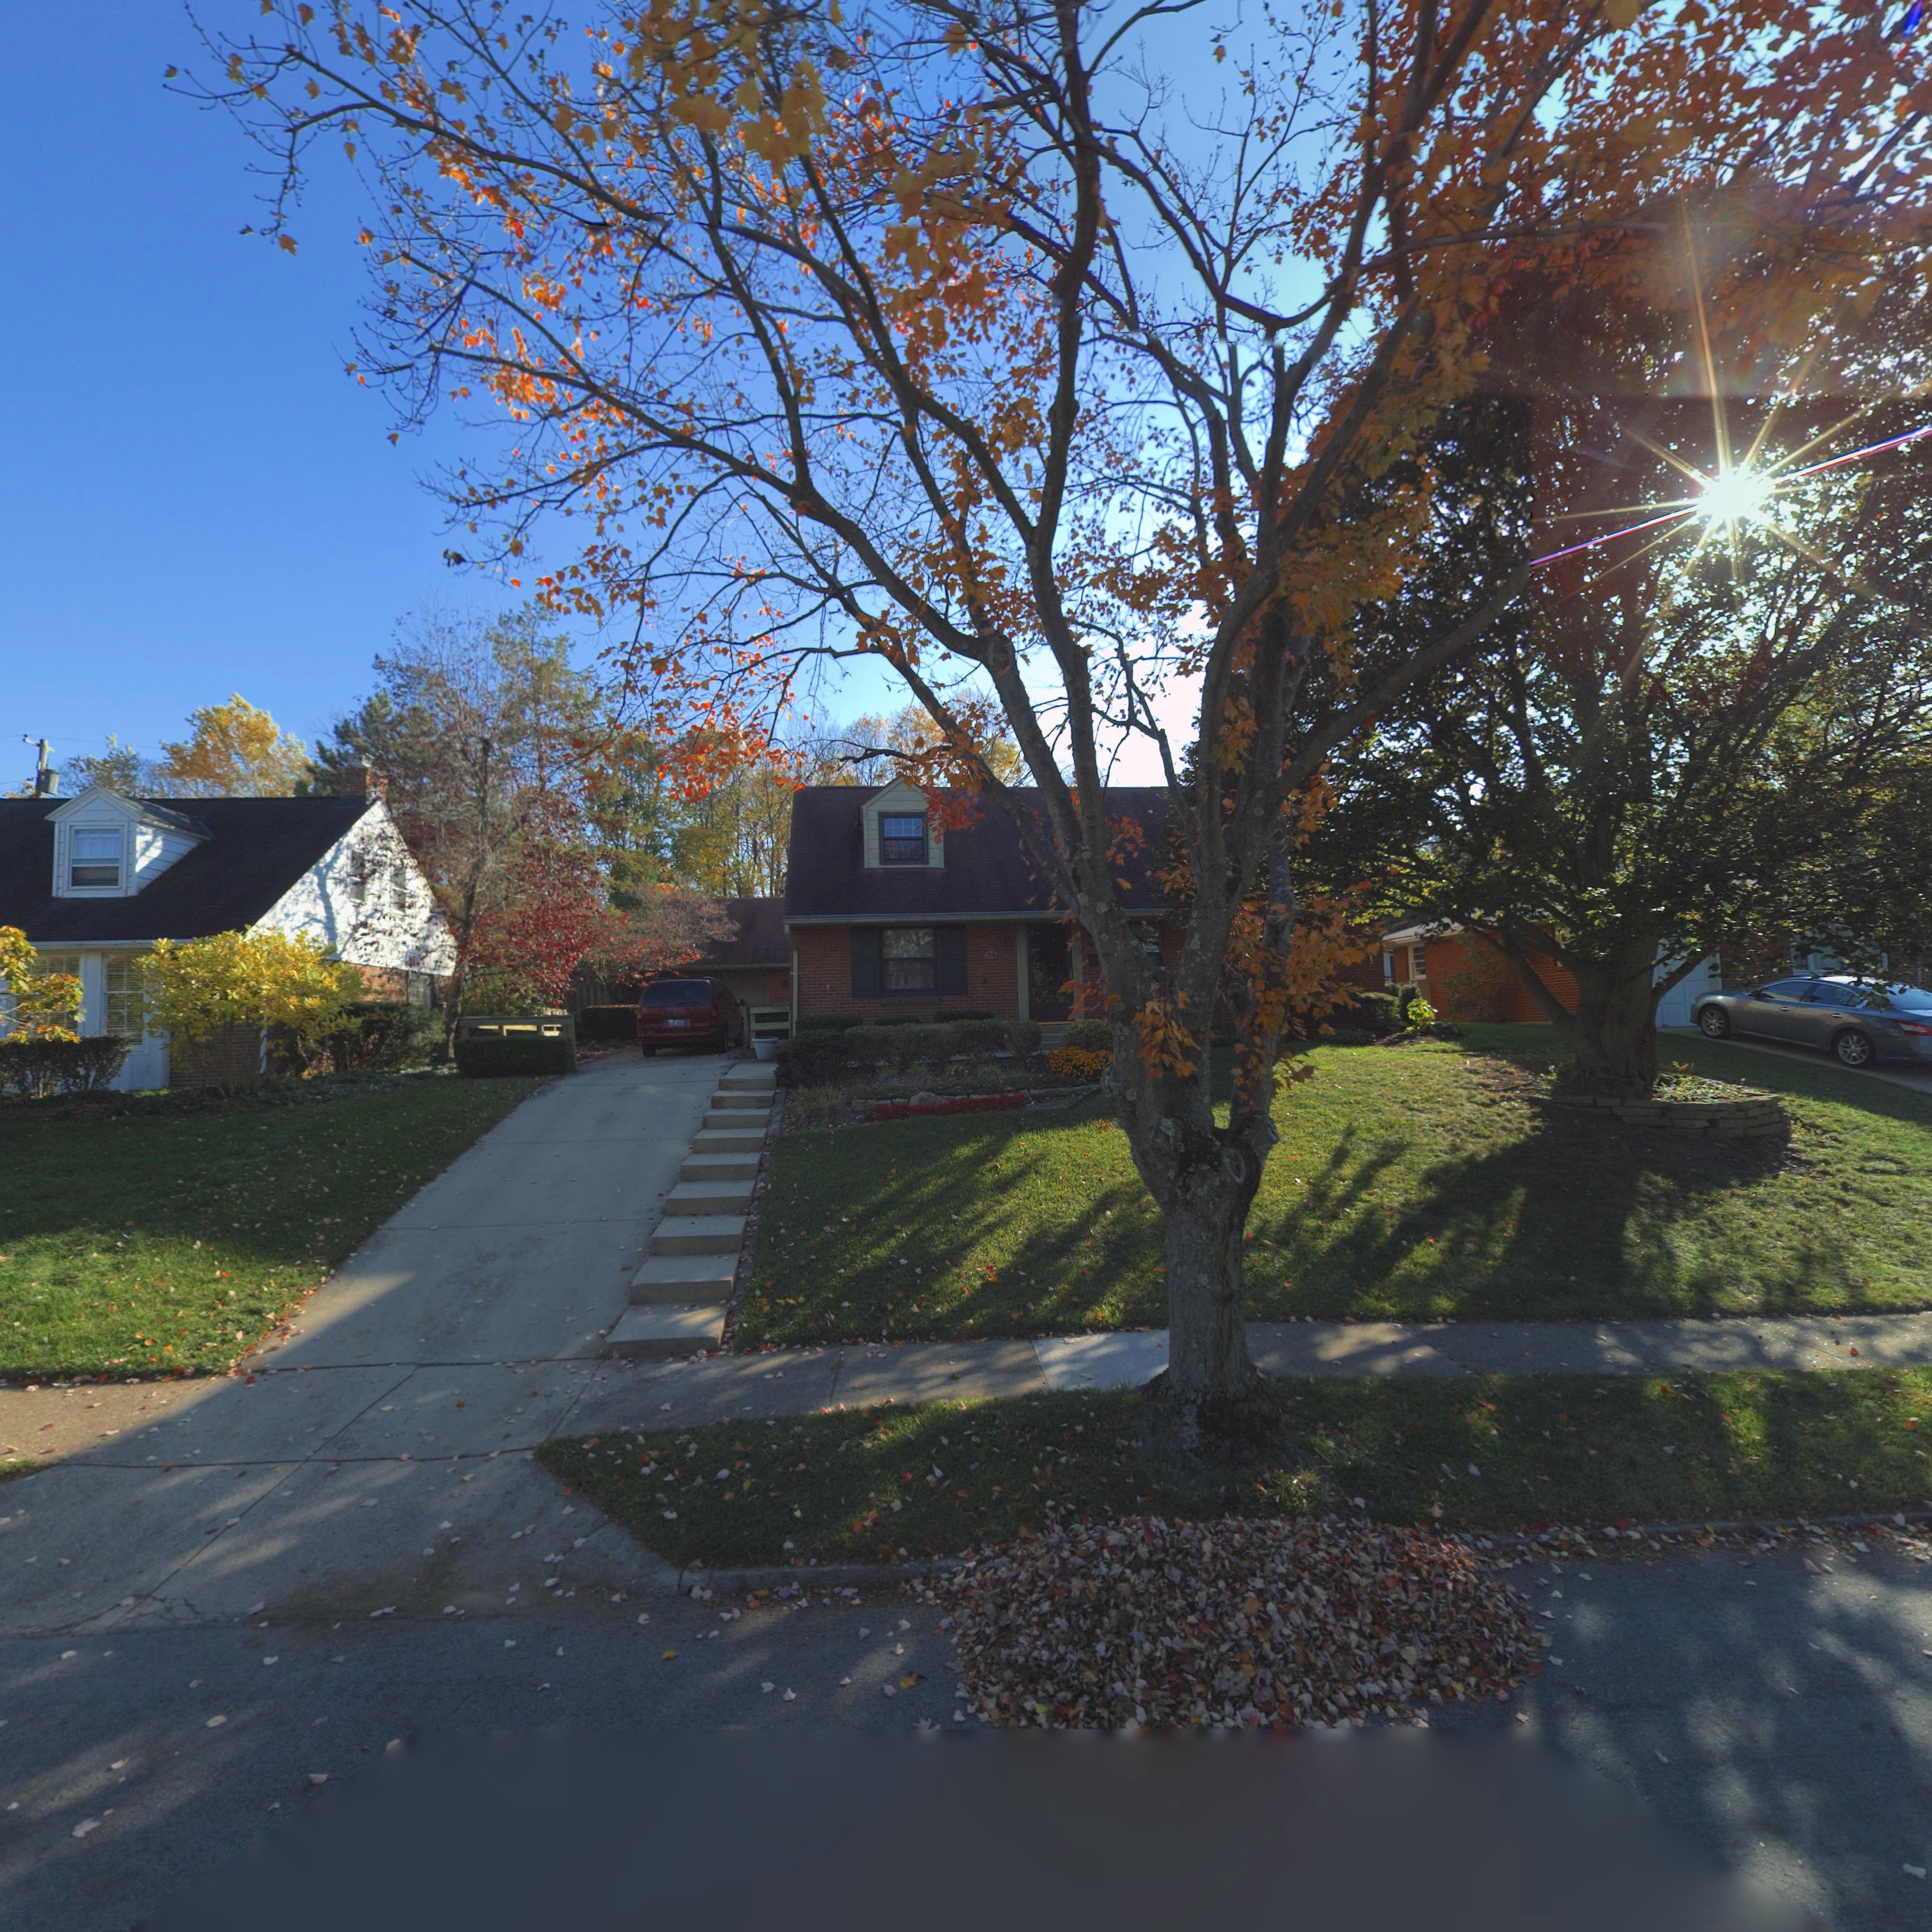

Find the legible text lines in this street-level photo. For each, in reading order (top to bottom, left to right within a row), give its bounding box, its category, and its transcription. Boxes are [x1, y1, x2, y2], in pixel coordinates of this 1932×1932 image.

[986, 952, 996, 958] StreetNumber: 34